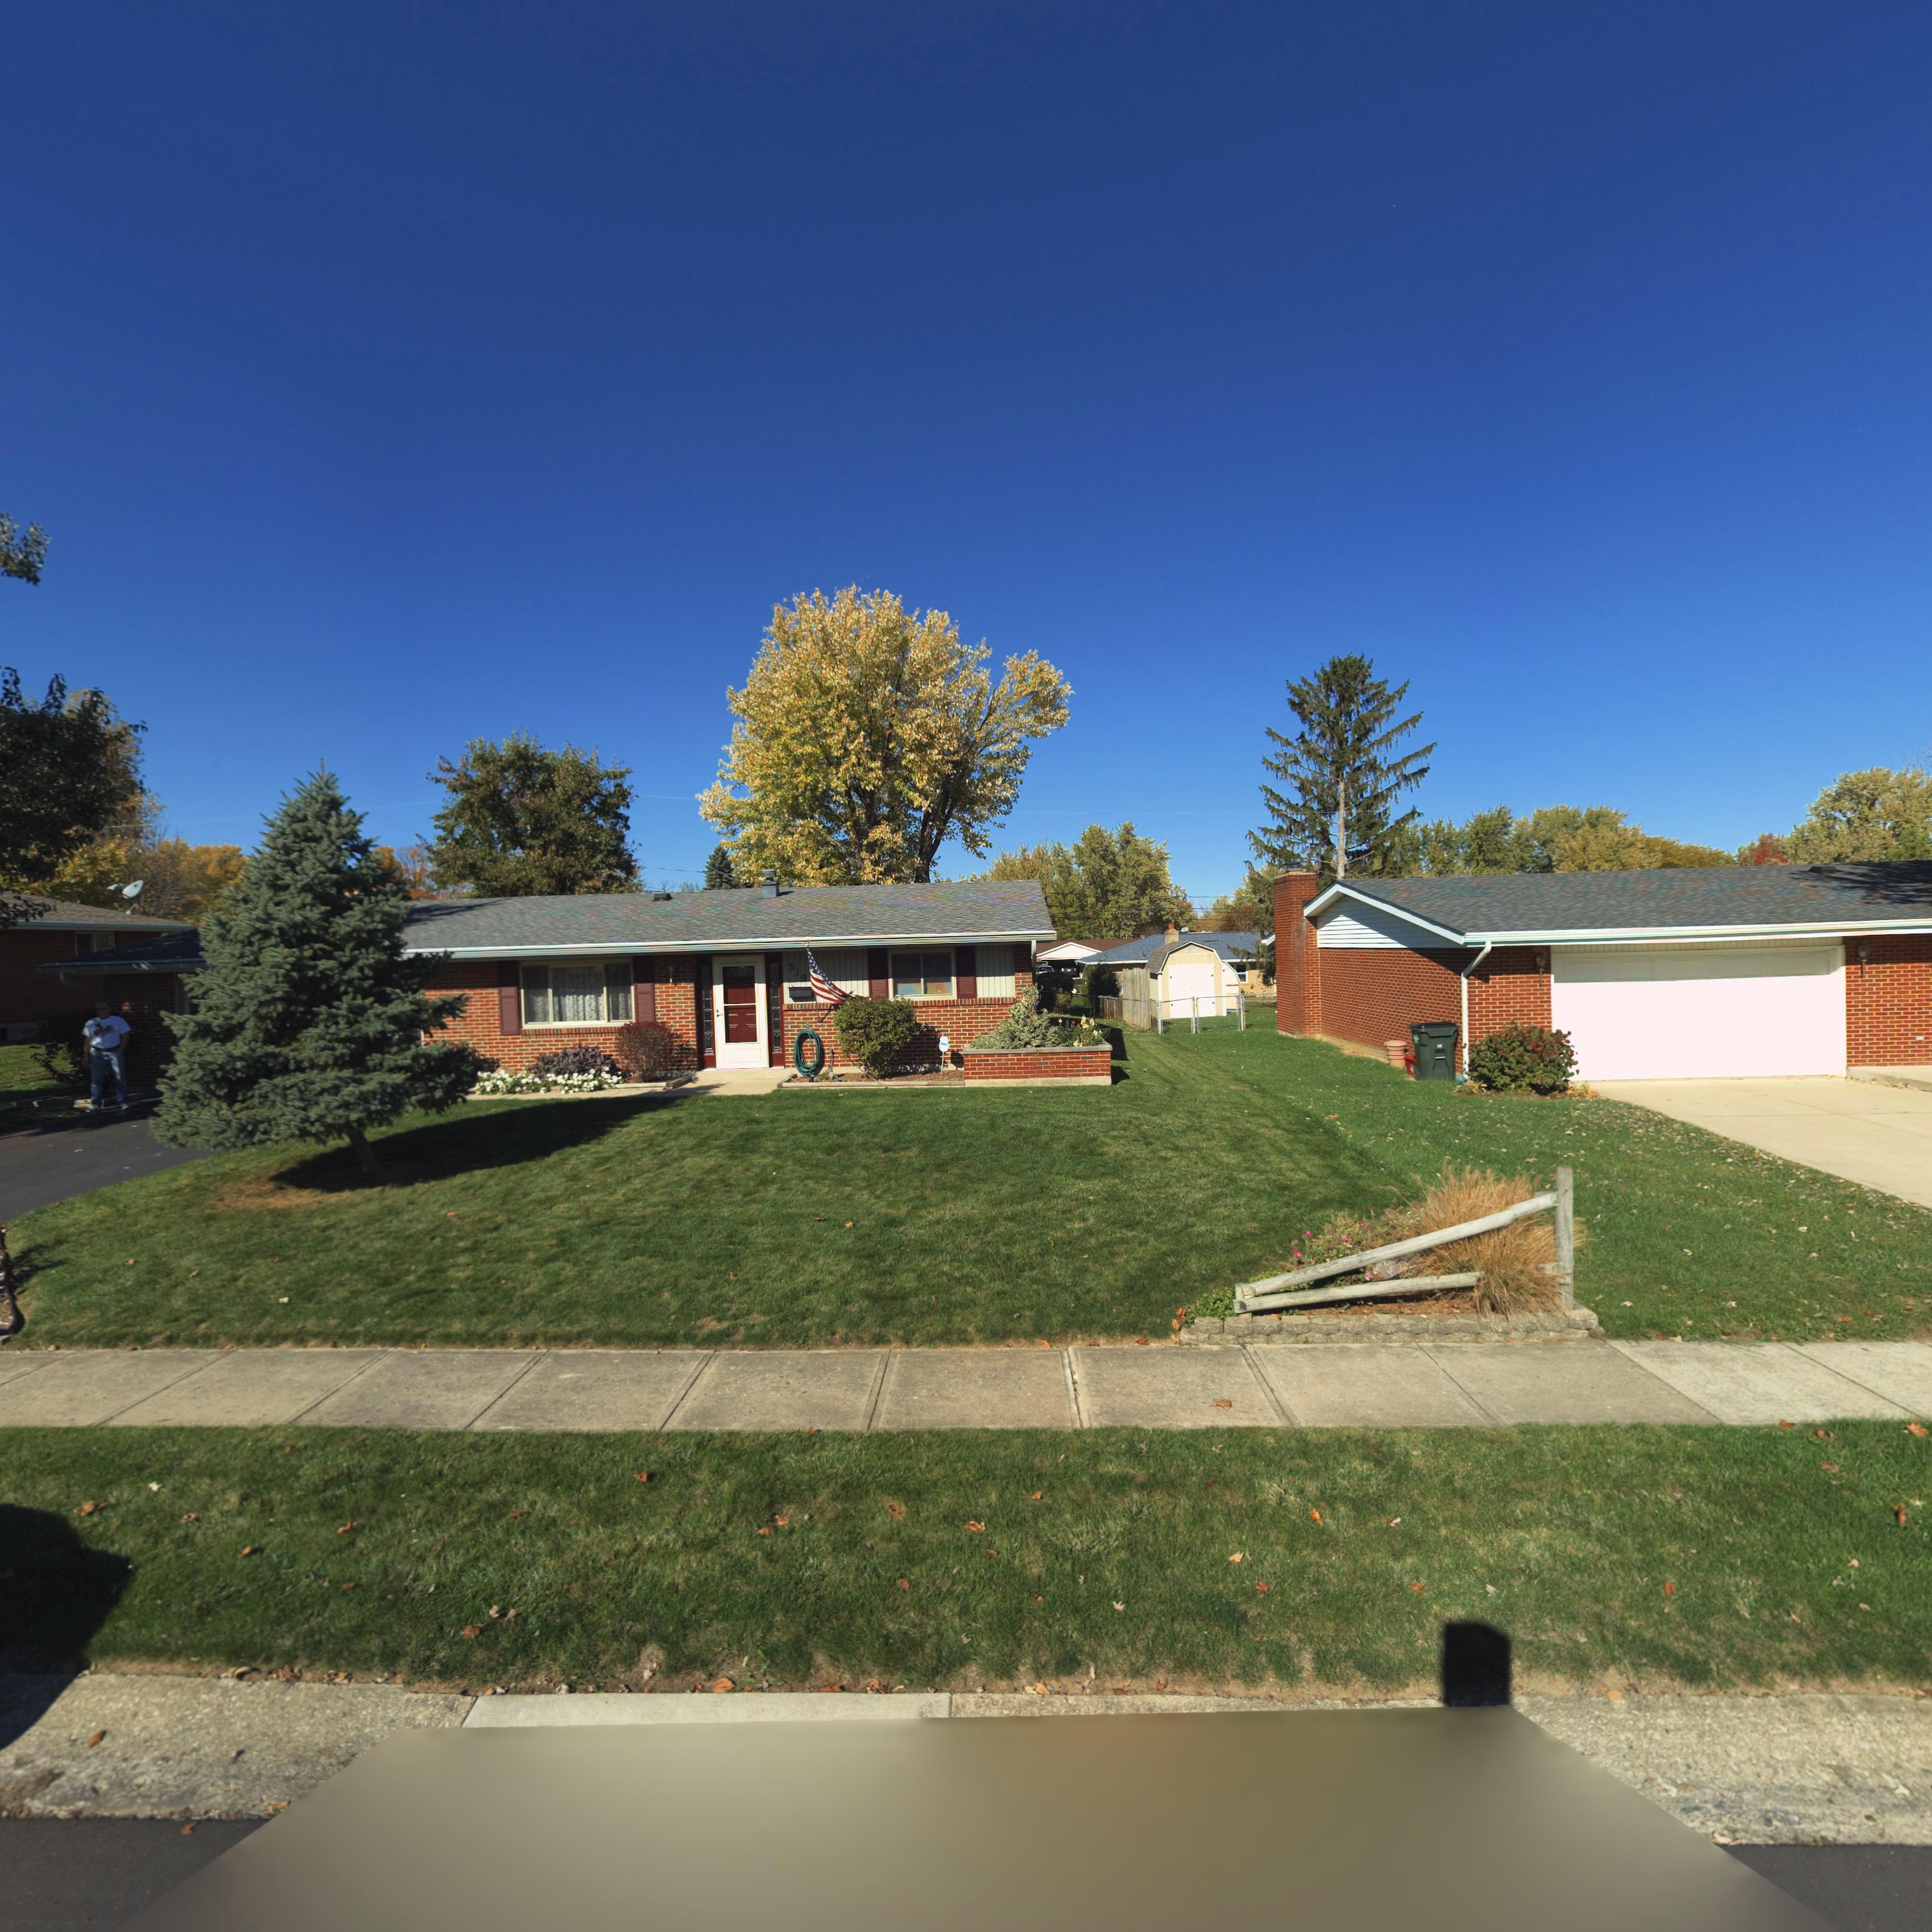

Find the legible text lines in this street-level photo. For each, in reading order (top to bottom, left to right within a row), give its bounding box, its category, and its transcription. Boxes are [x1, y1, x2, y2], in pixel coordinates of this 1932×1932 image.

[788, 962, 807, 982] StreetNumber: 519